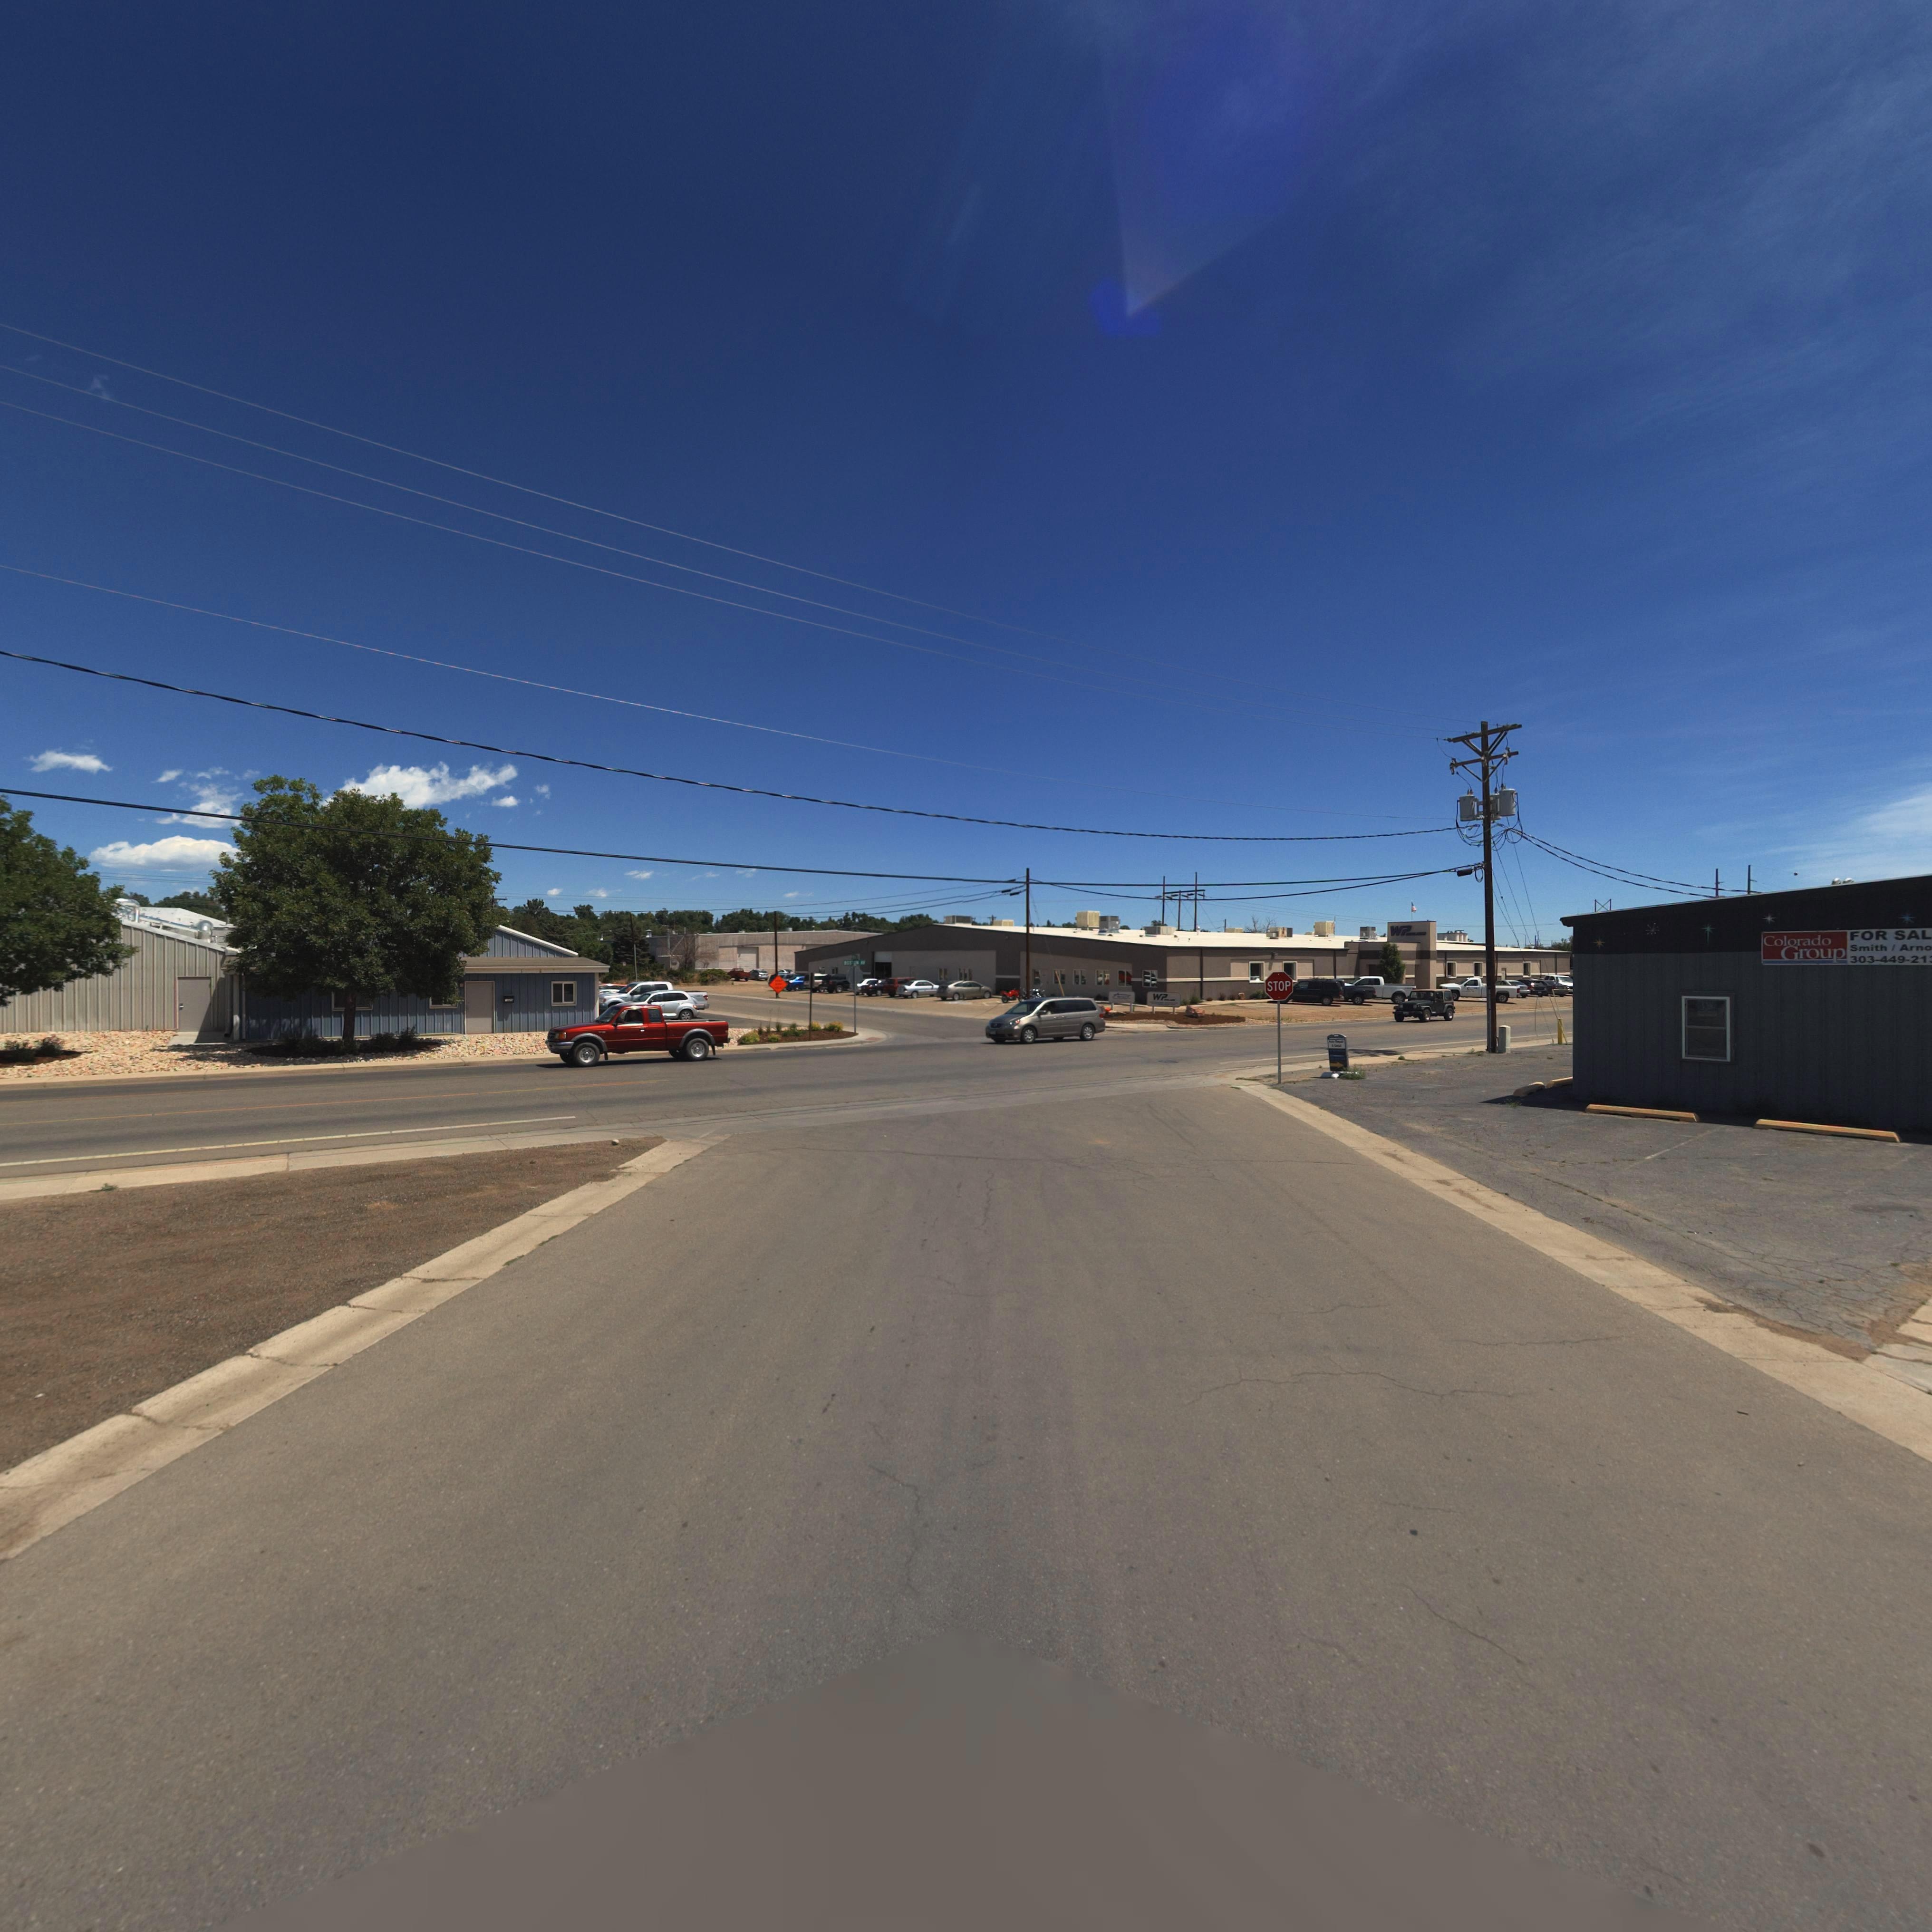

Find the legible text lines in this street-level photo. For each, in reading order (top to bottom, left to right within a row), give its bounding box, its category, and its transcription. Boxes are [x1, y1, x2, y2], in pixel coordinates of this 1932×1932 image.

[1390, 925, 1412, 936] BusinessName: WP
[843, 960, 866, 965] StreetName: *OS*ON *V
[1112, 992, 1119, 997] BusinessName: A
[1152, 993, 1168, 1000] BusinessName: WP